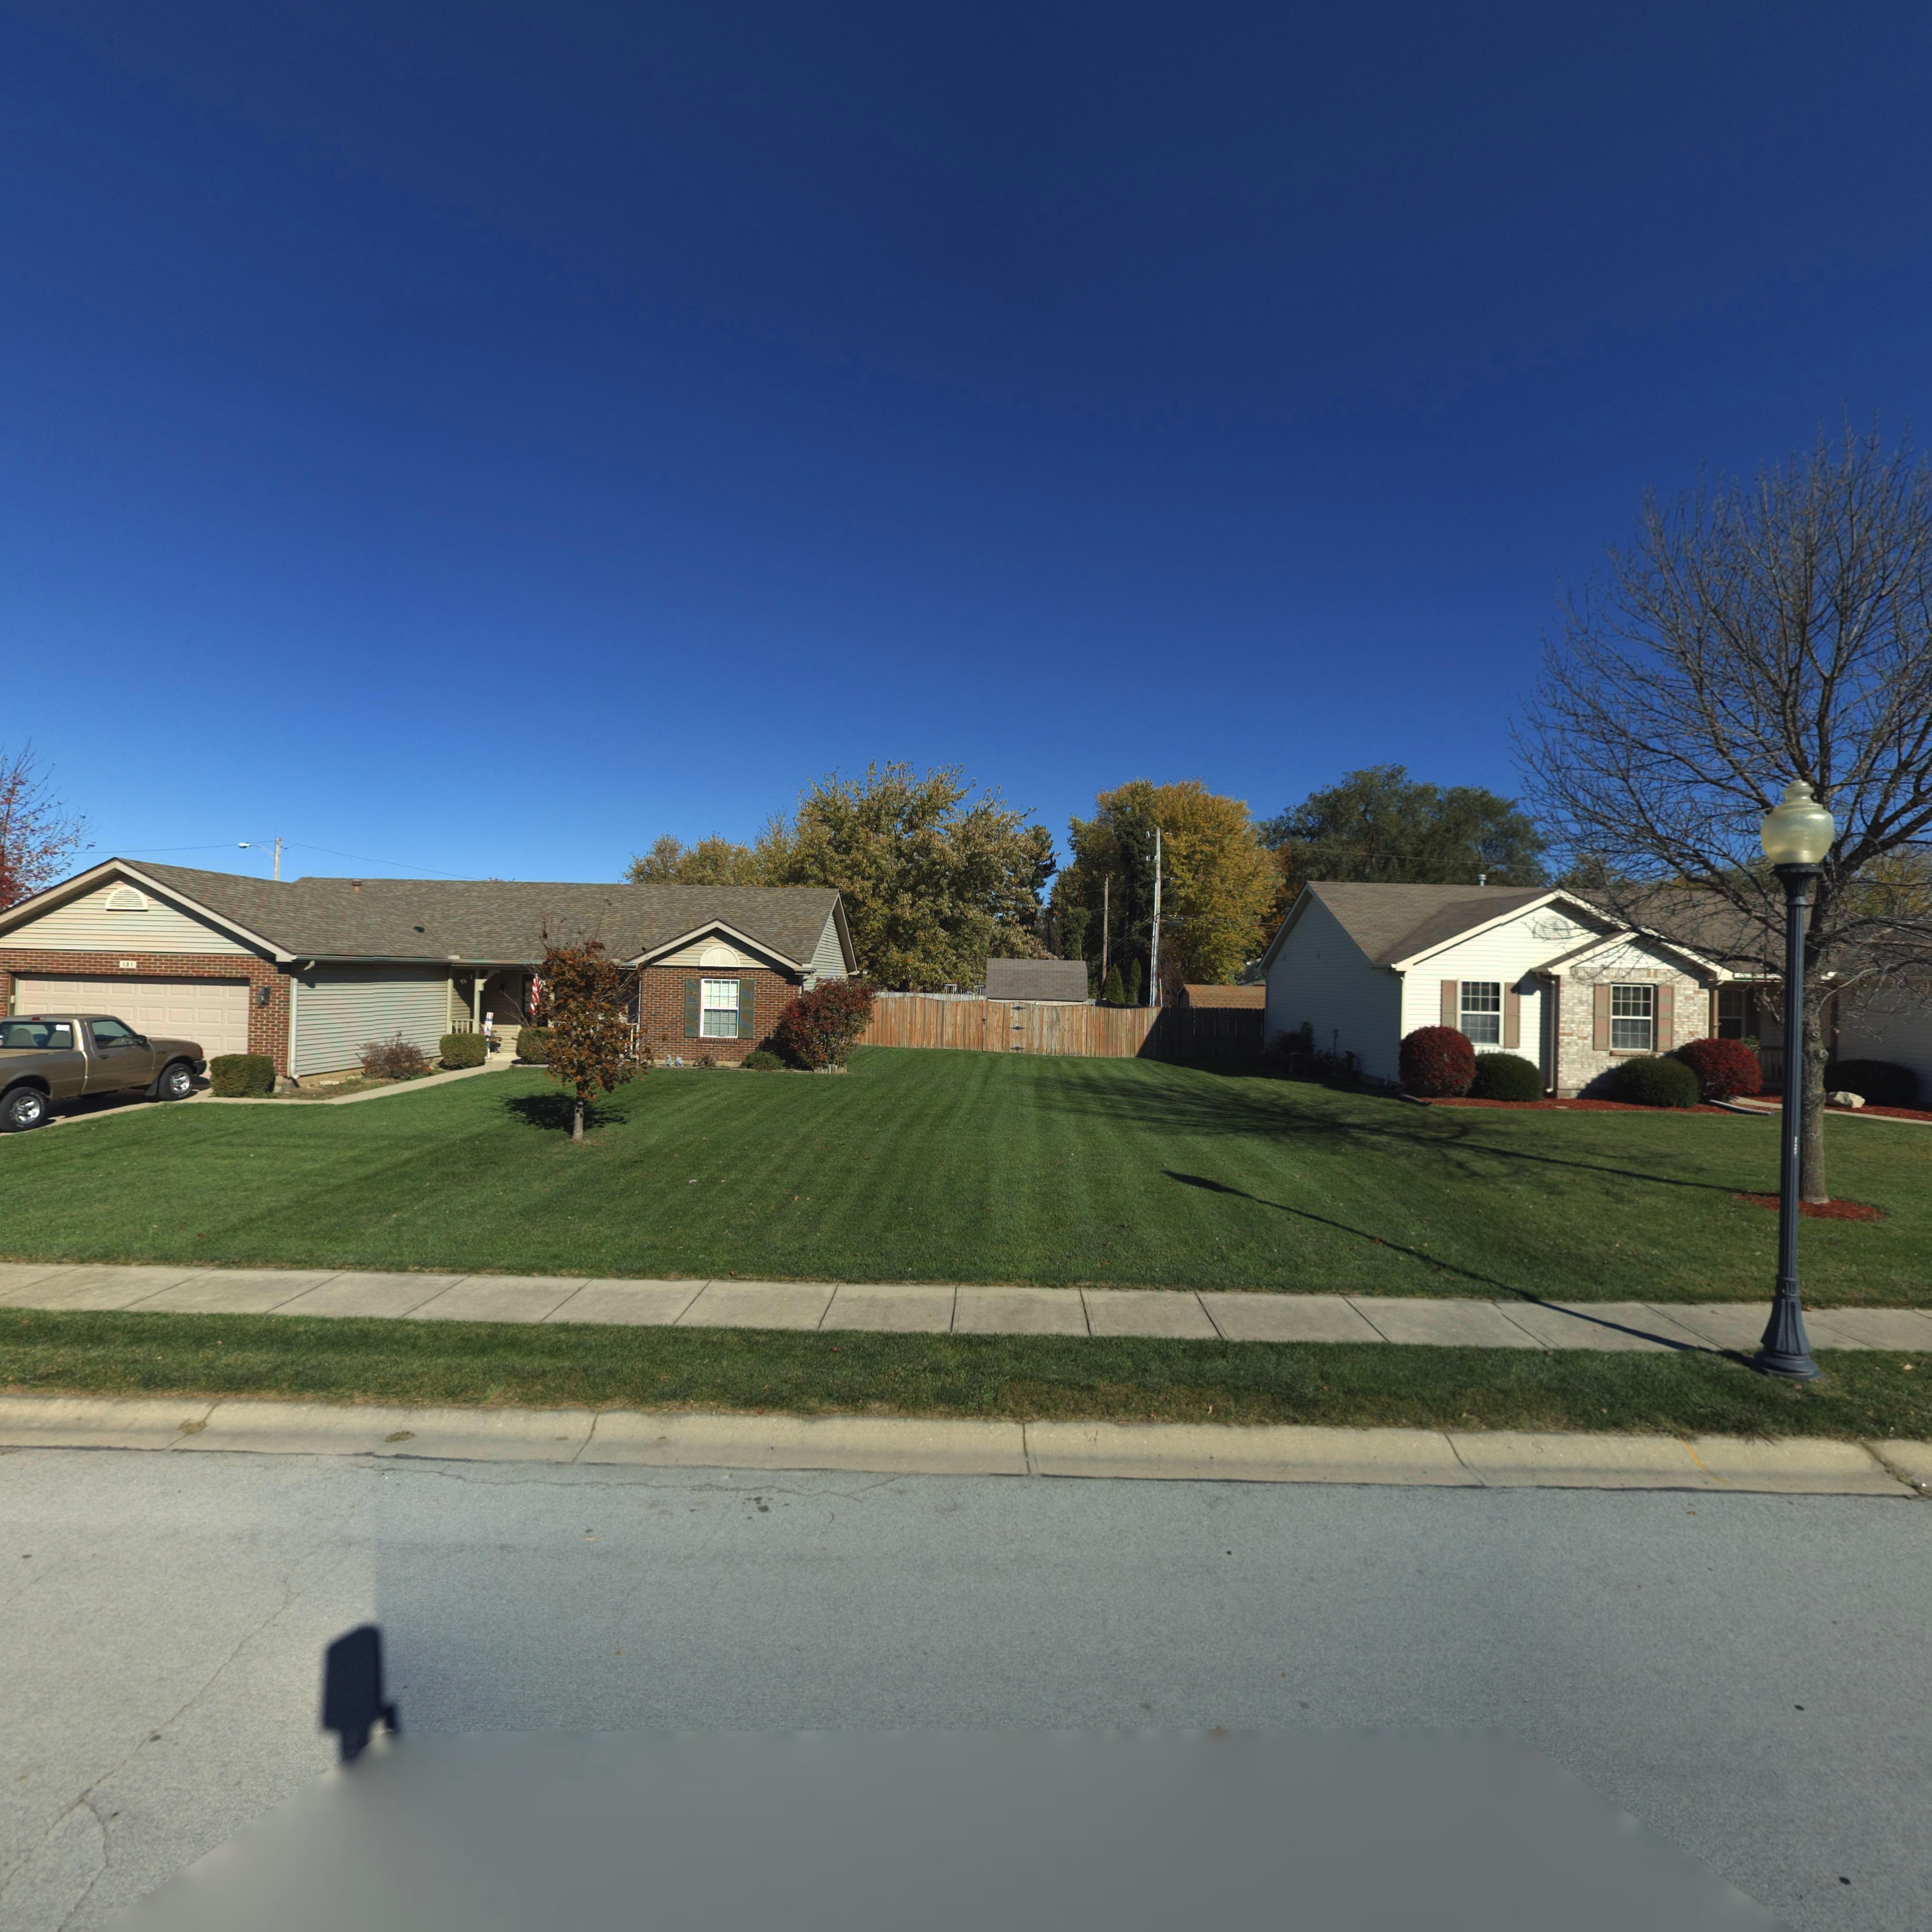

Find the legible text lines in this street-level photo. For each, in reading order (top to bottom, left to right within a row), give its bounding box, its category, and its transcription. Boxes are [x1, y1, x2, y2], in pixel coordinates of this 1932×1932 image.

[122, 962, 133, 967] StreetNumber: 121